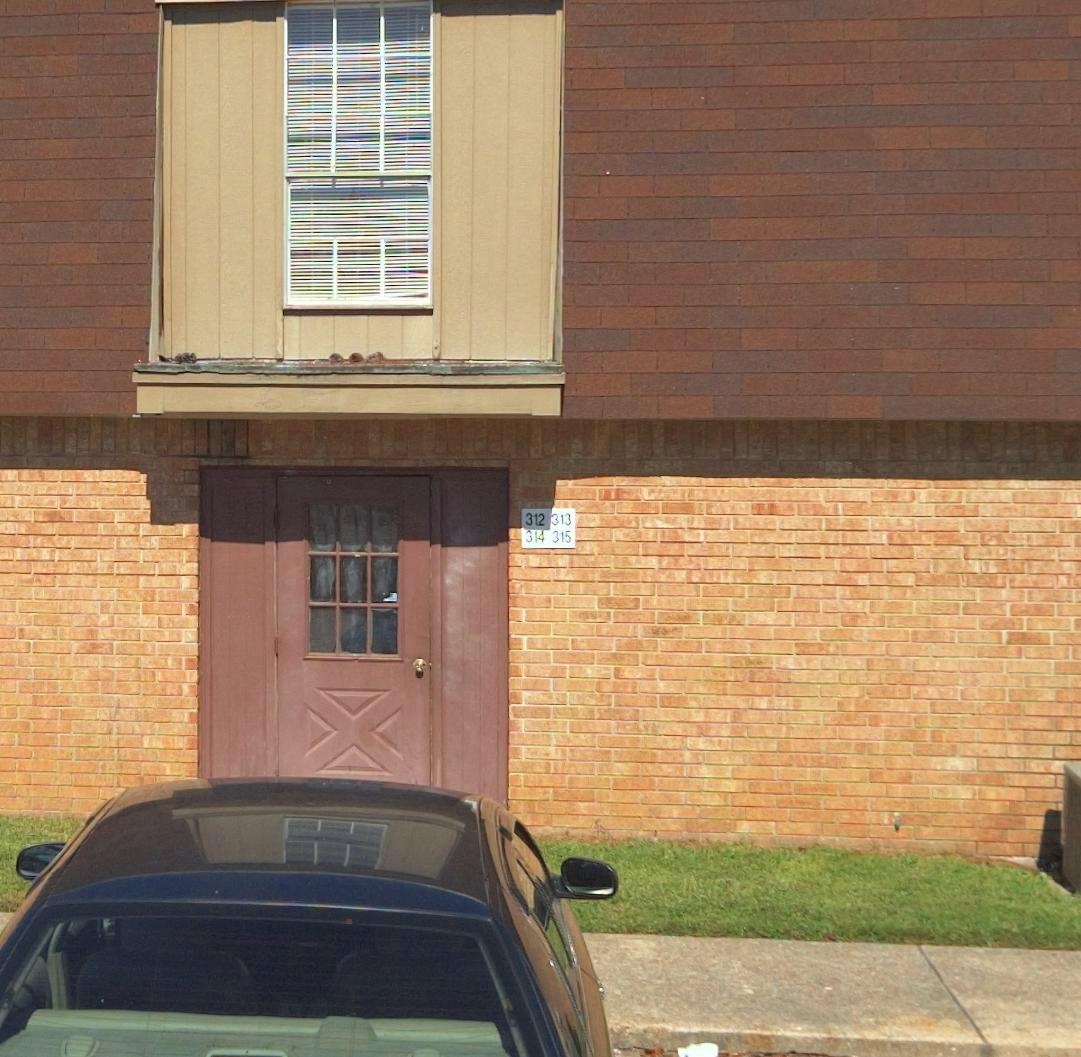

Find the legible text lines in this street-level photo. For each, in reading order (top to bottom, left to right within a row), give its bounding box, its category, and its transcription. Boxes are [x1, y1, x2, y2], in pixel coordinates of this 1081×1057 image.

[524, 511, 546, 527] StreetNumber: 312
[550, 512, 572, 527] StreetNumber: 313
[524, 528, 546, 544] StreetNumber: 314
[550, 529, 573, 544] StreetNumber: 315